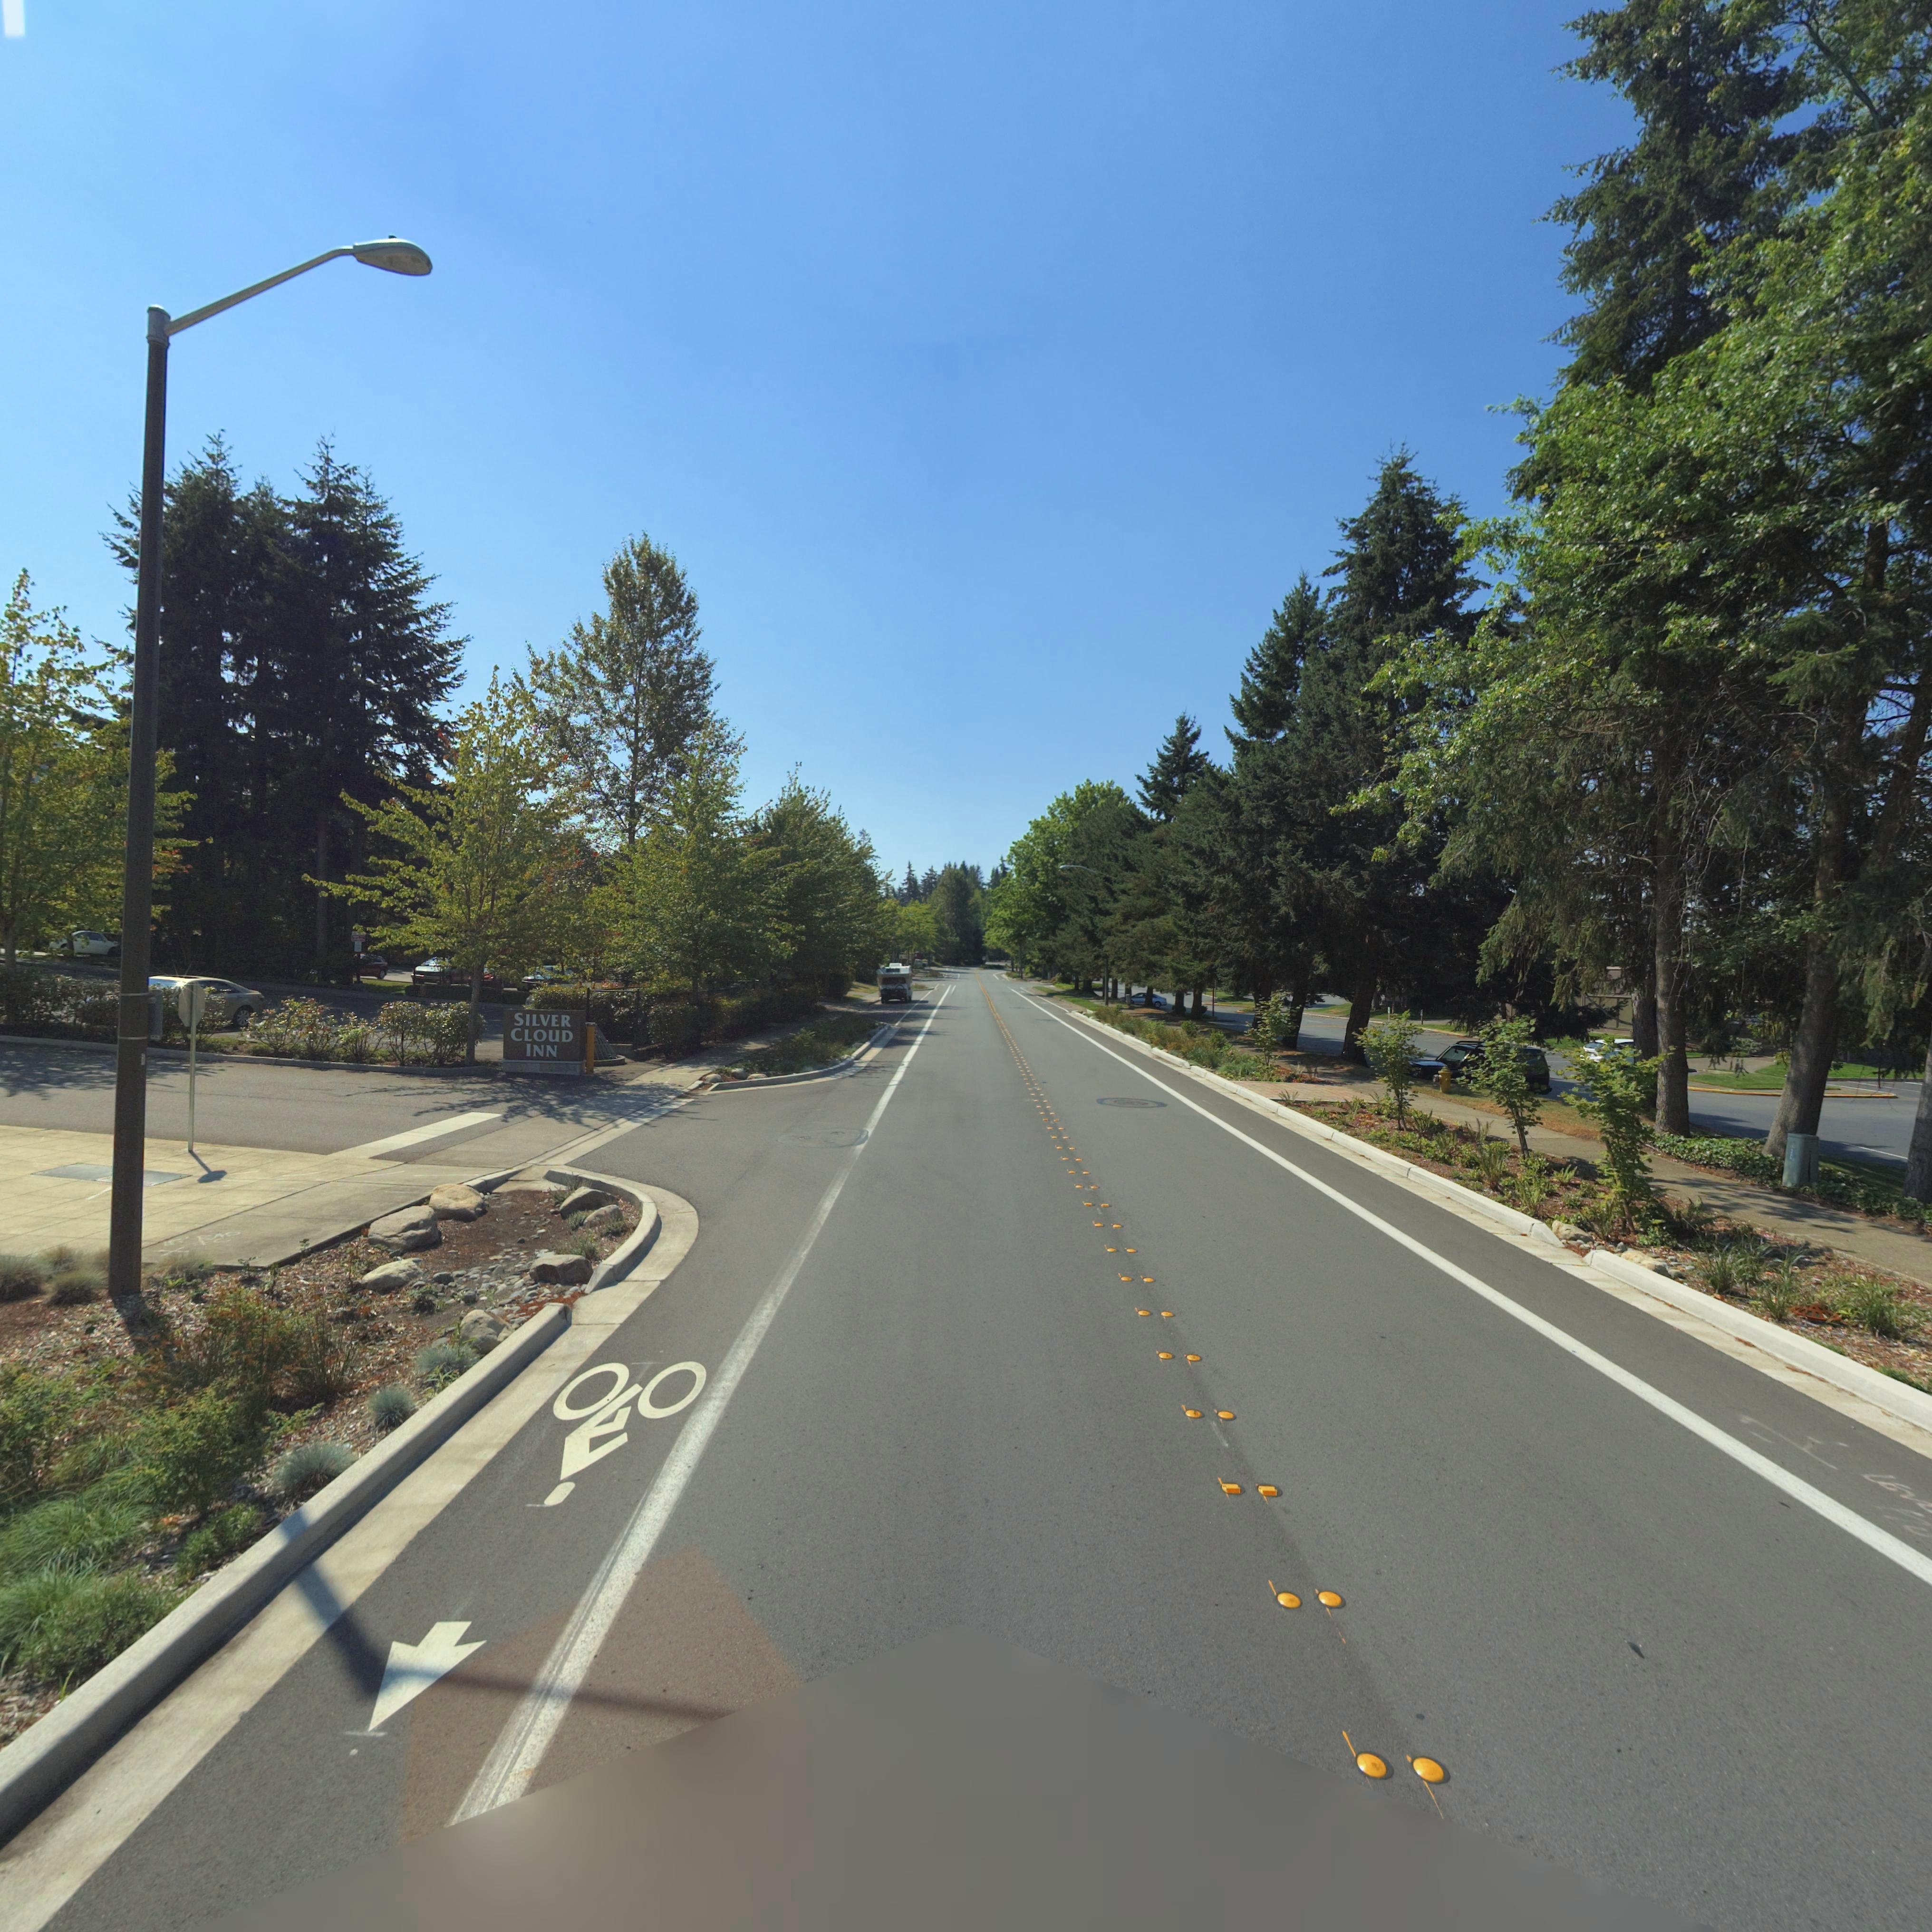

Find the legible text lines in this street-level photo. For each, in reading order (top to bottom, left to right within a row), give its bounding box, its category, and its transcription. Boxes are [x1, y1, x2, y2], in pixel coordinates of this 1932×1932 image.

[513, 1012, 571, 1027] BusinessName: SILVER
[509, 1027, 573, 1043] BusinessName: CLOUD
[525, 1043, 558, 1058] BusinessName: INN